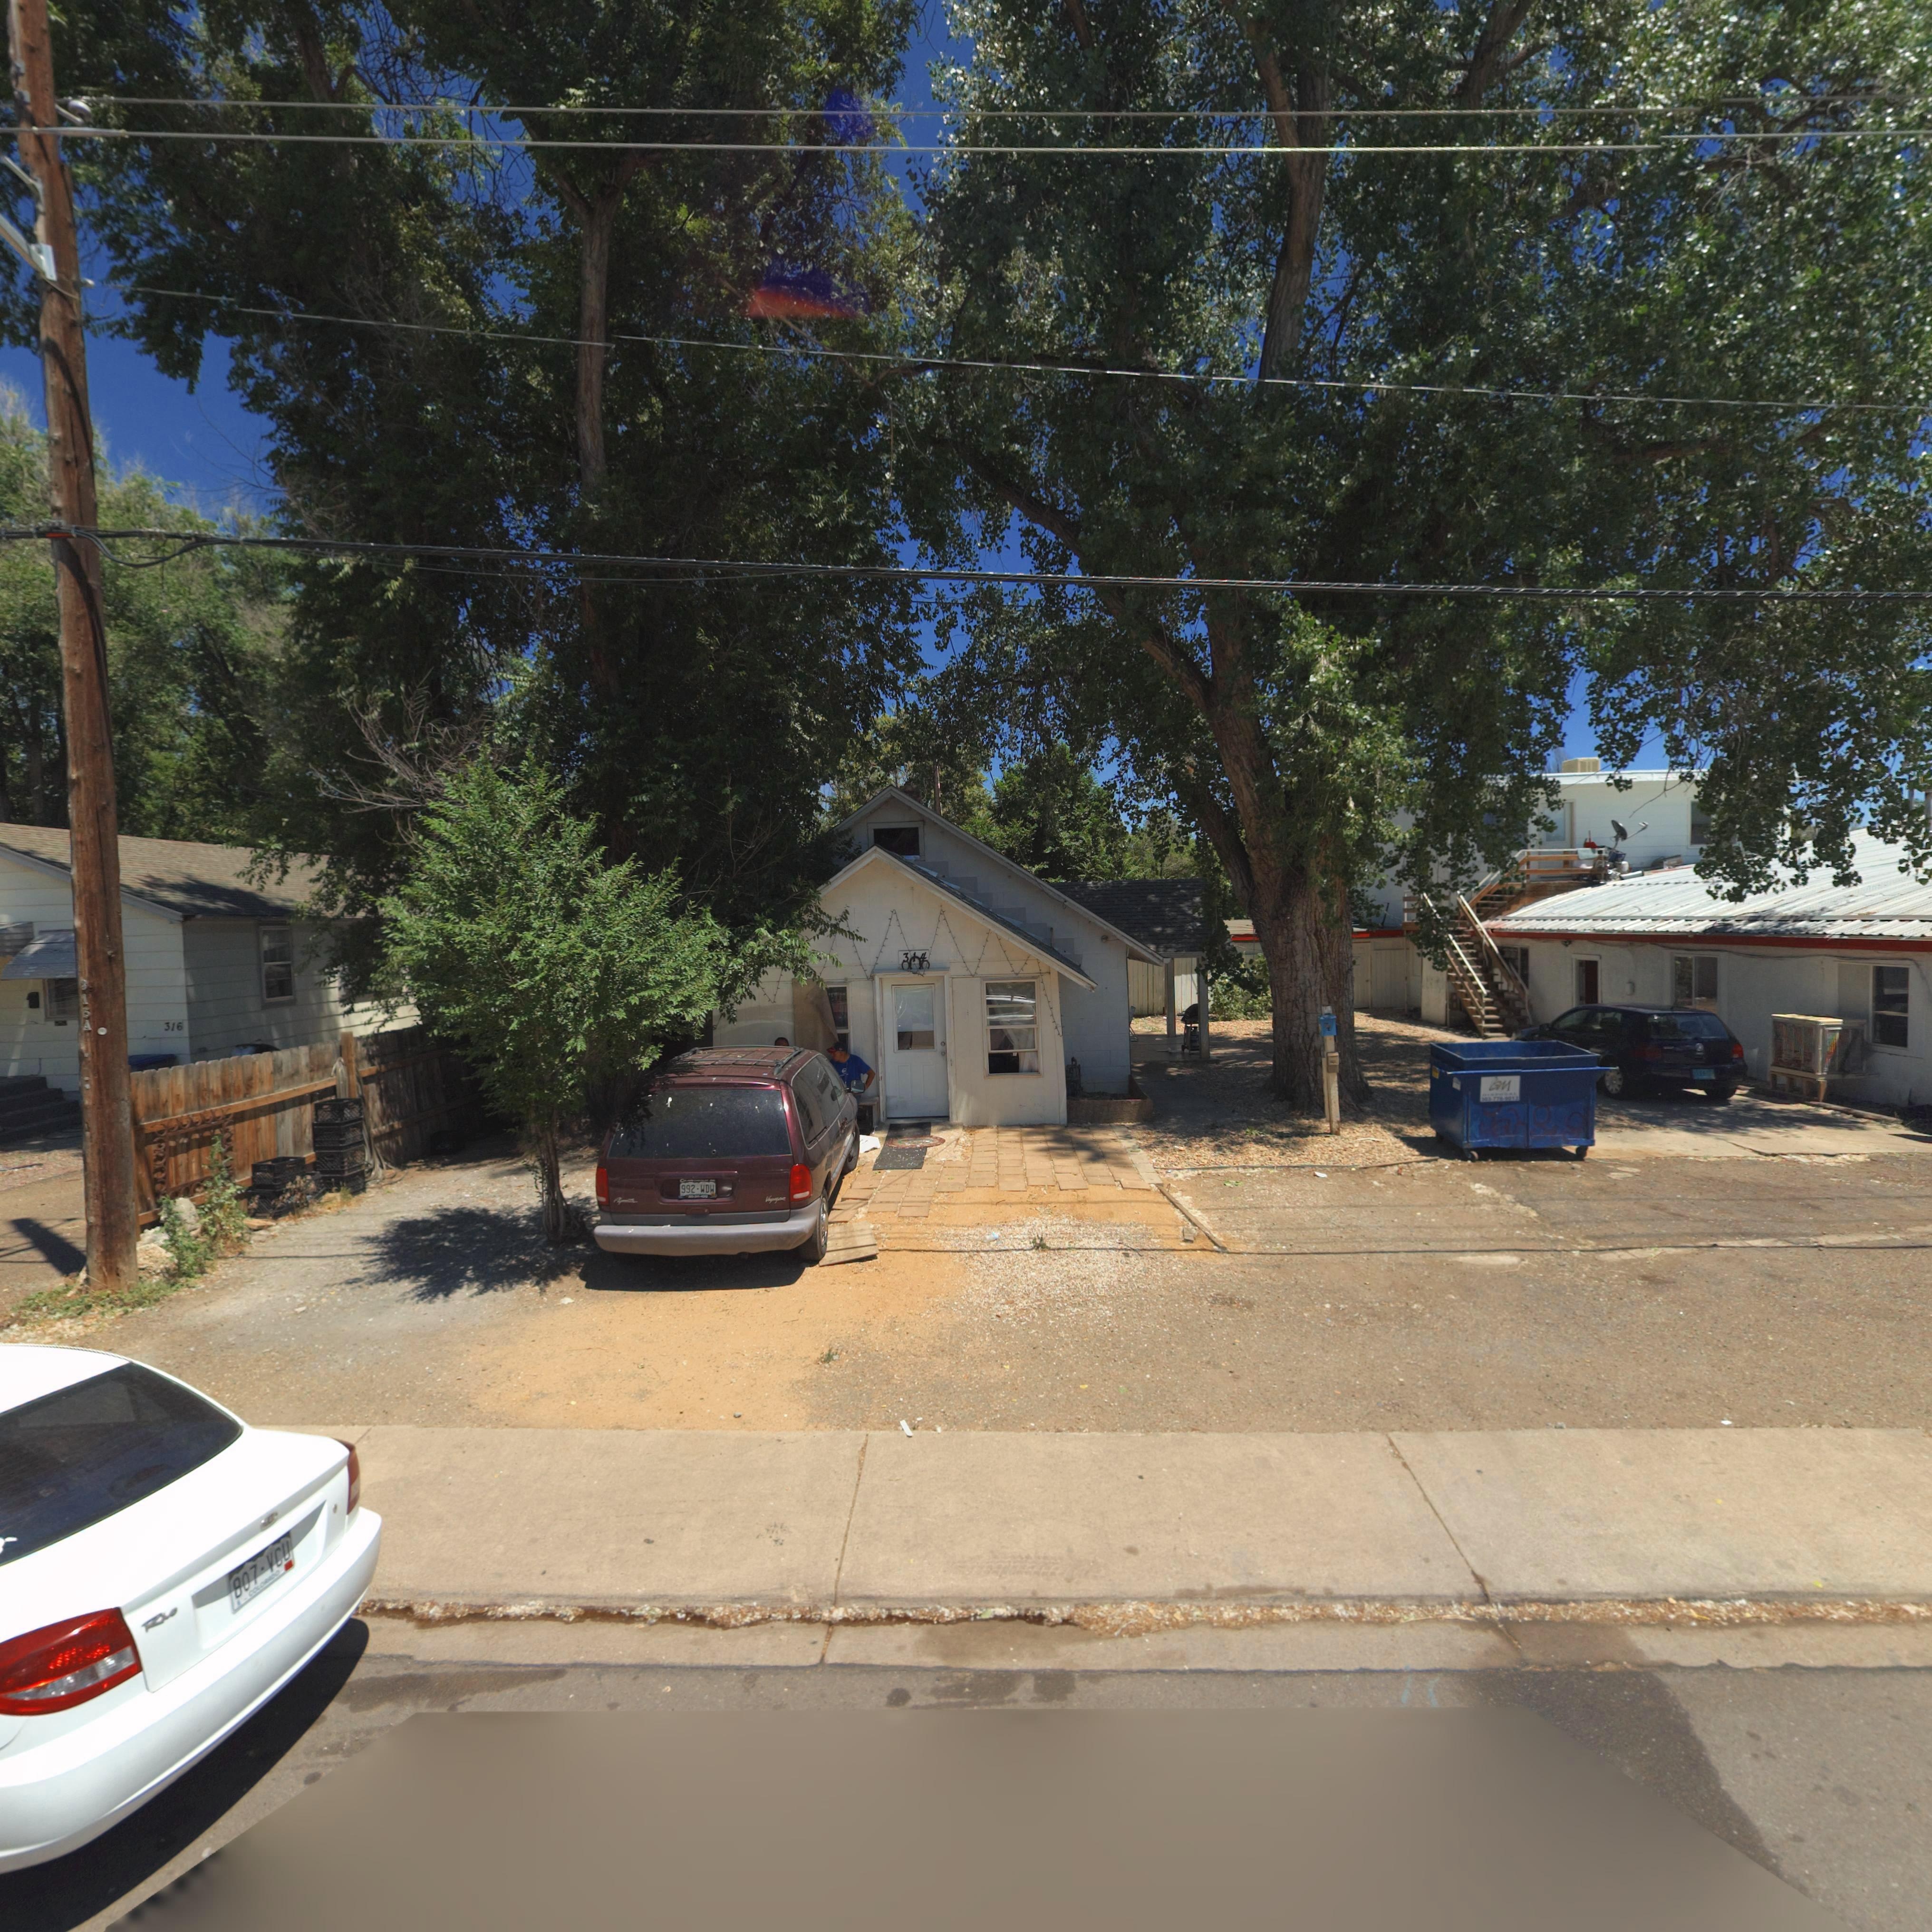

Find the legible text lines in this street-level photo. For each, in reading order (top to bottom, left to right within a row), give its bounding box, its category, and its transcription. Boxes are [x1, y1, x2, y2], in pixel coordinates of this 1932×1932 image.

[903, 951, 927, 963] StreetNumber: 314
[164, 1021, 184, 1032] StreetNumber: 316